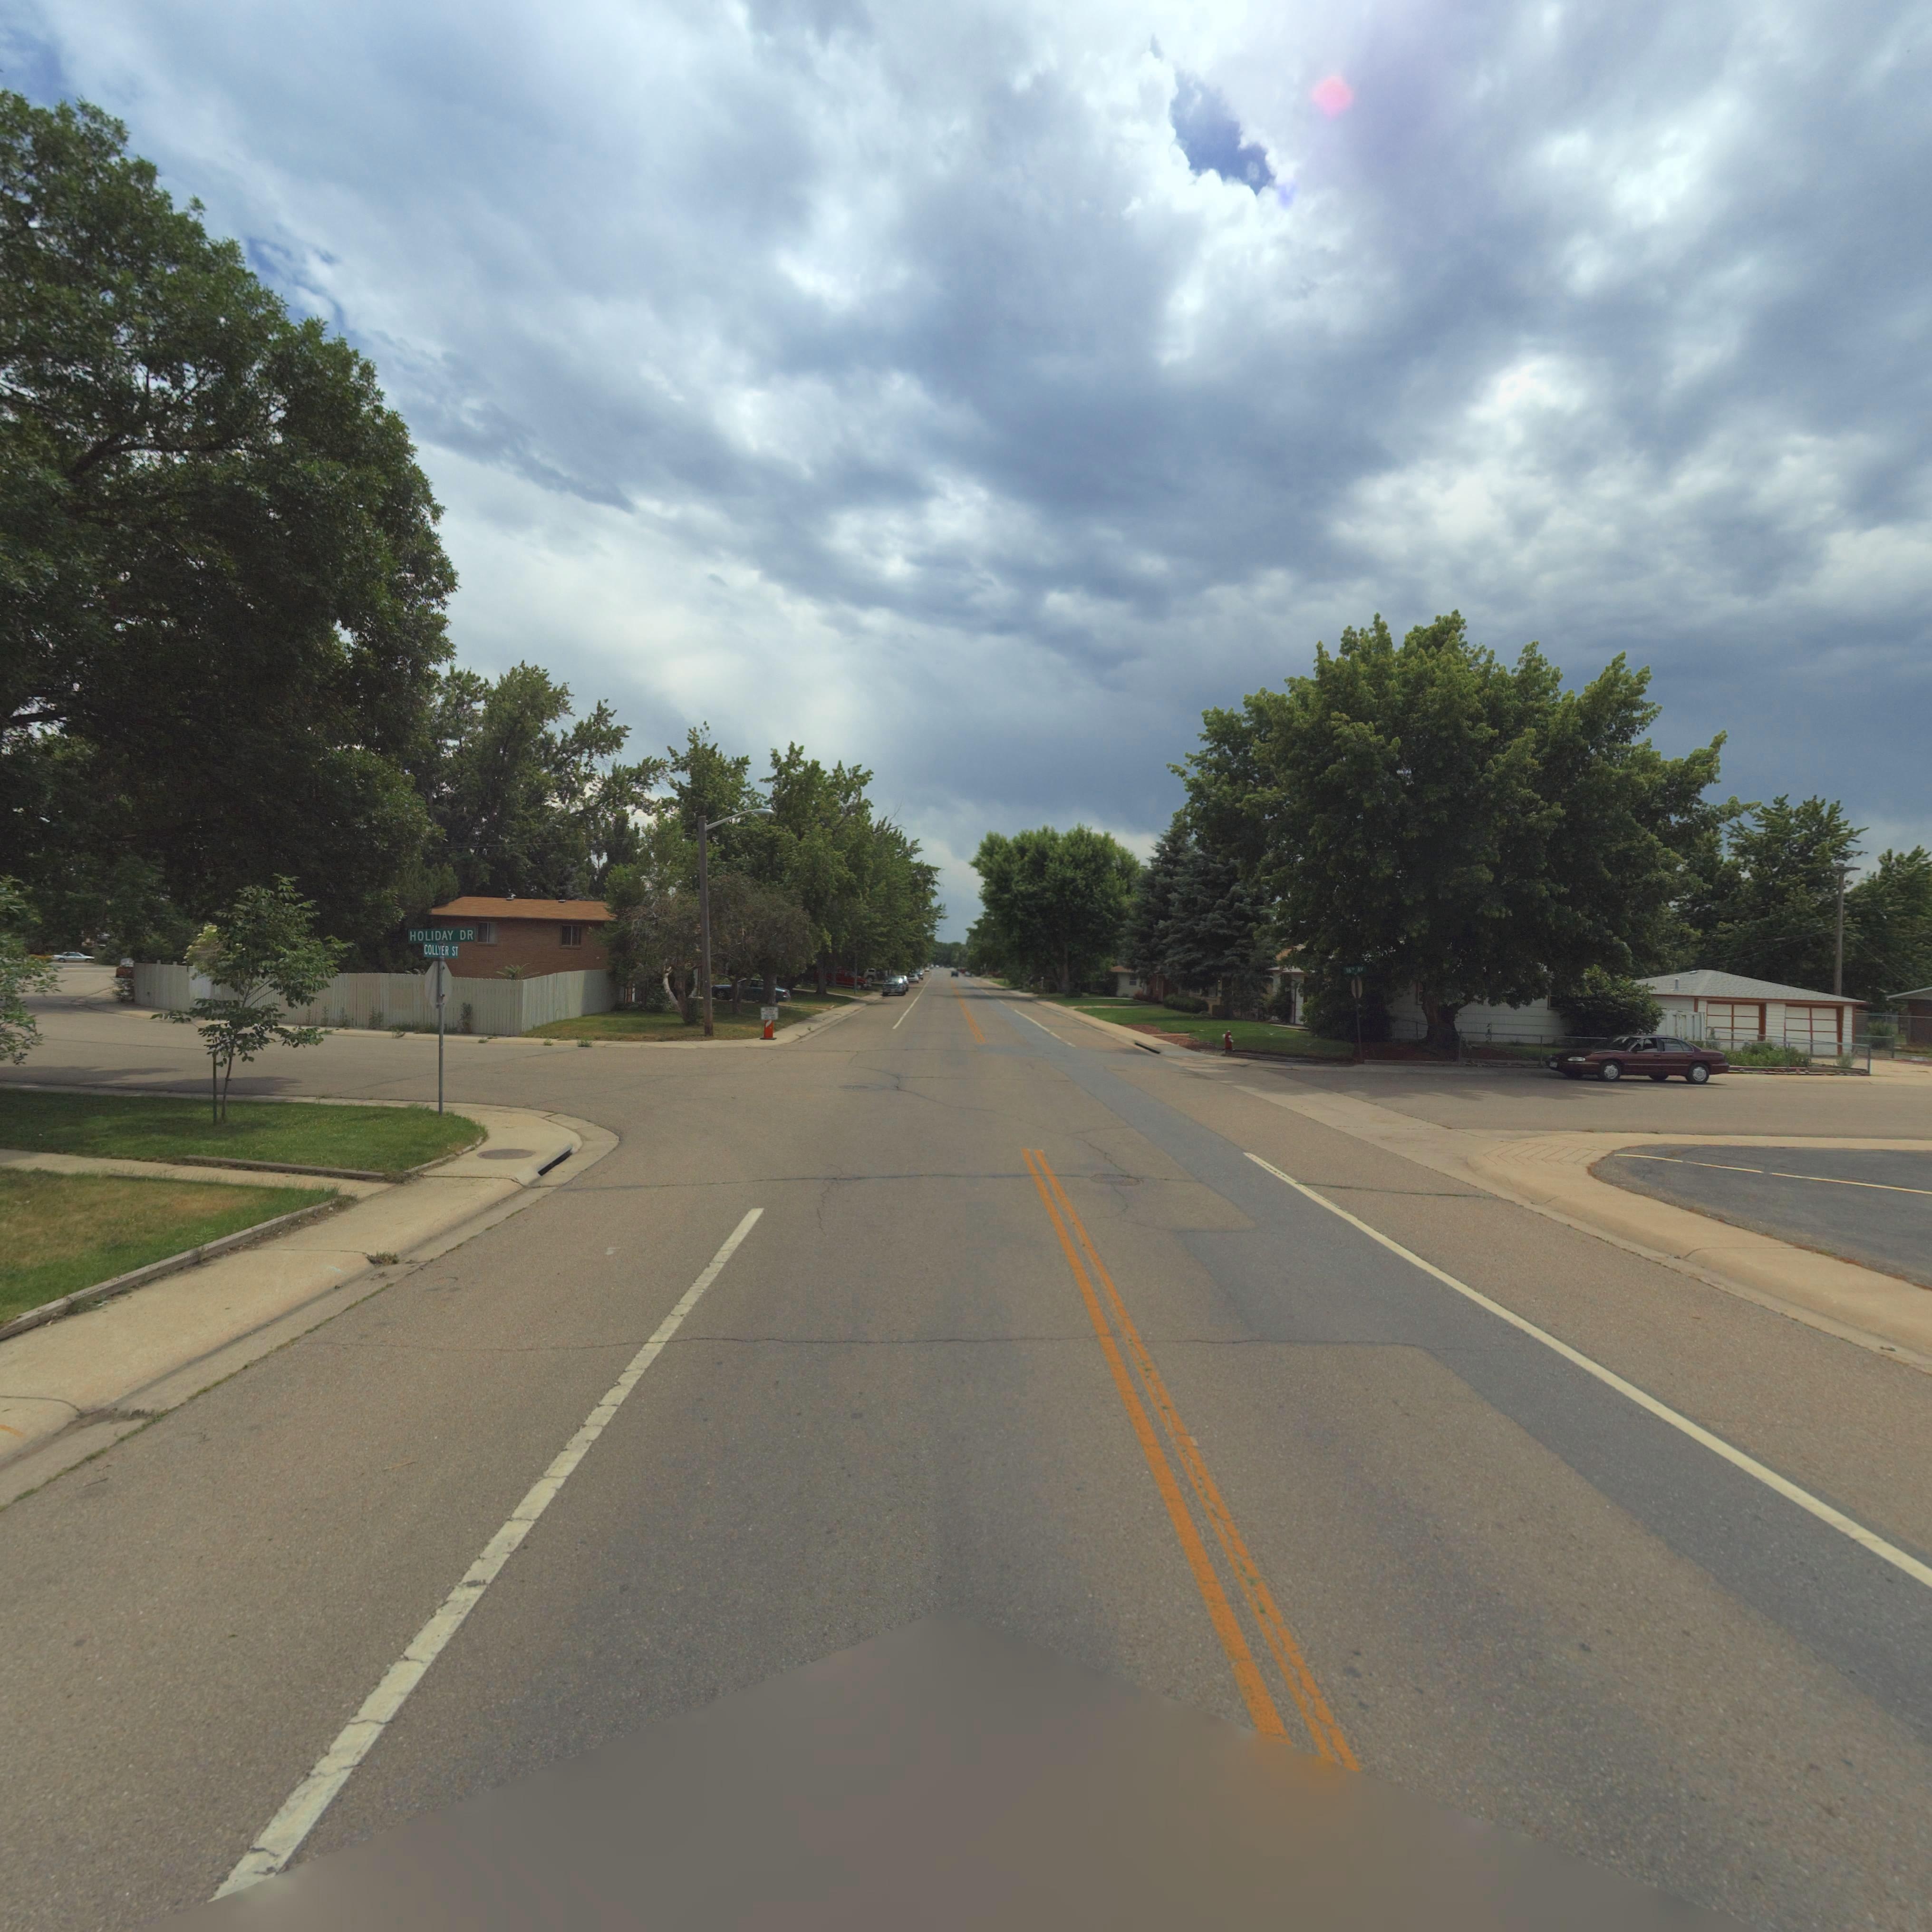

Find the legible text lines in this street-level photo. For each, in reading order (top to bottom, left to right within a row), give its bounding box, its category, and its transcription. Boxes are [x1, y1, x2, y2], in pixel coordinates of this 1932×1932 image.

[409, 929, 473, 941] StreetName: HOLIDAY DR
[424, 944, 458, 957] StreetName: COLLYER ST
[1345, 966, 1363, 973] StreetName: 16** AV